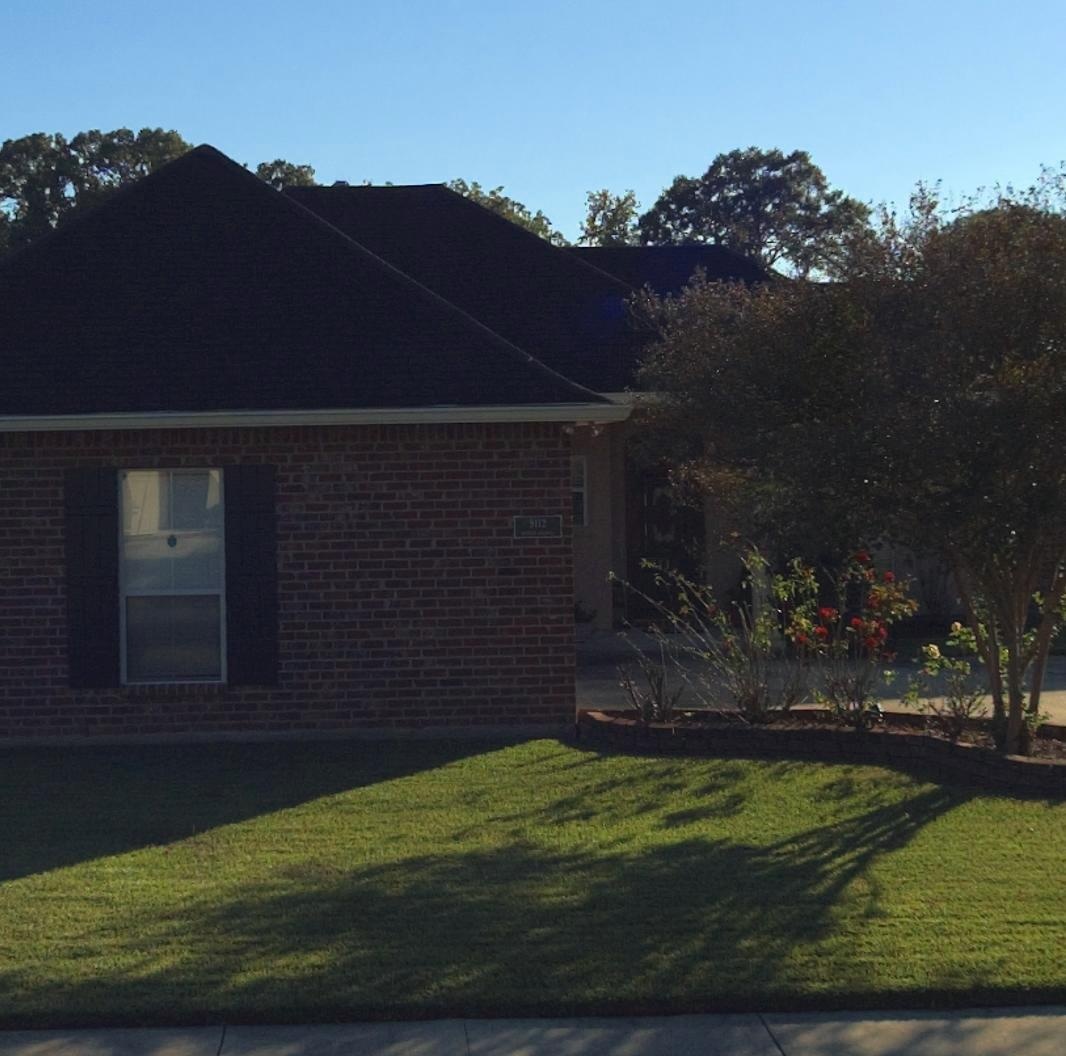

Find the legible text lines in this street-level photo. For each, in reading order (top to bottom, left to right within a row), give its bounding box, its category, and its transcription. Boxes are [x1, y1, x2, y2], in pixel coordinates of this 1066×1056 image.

[528, 517, 547, 529] StreetNumber: 9112